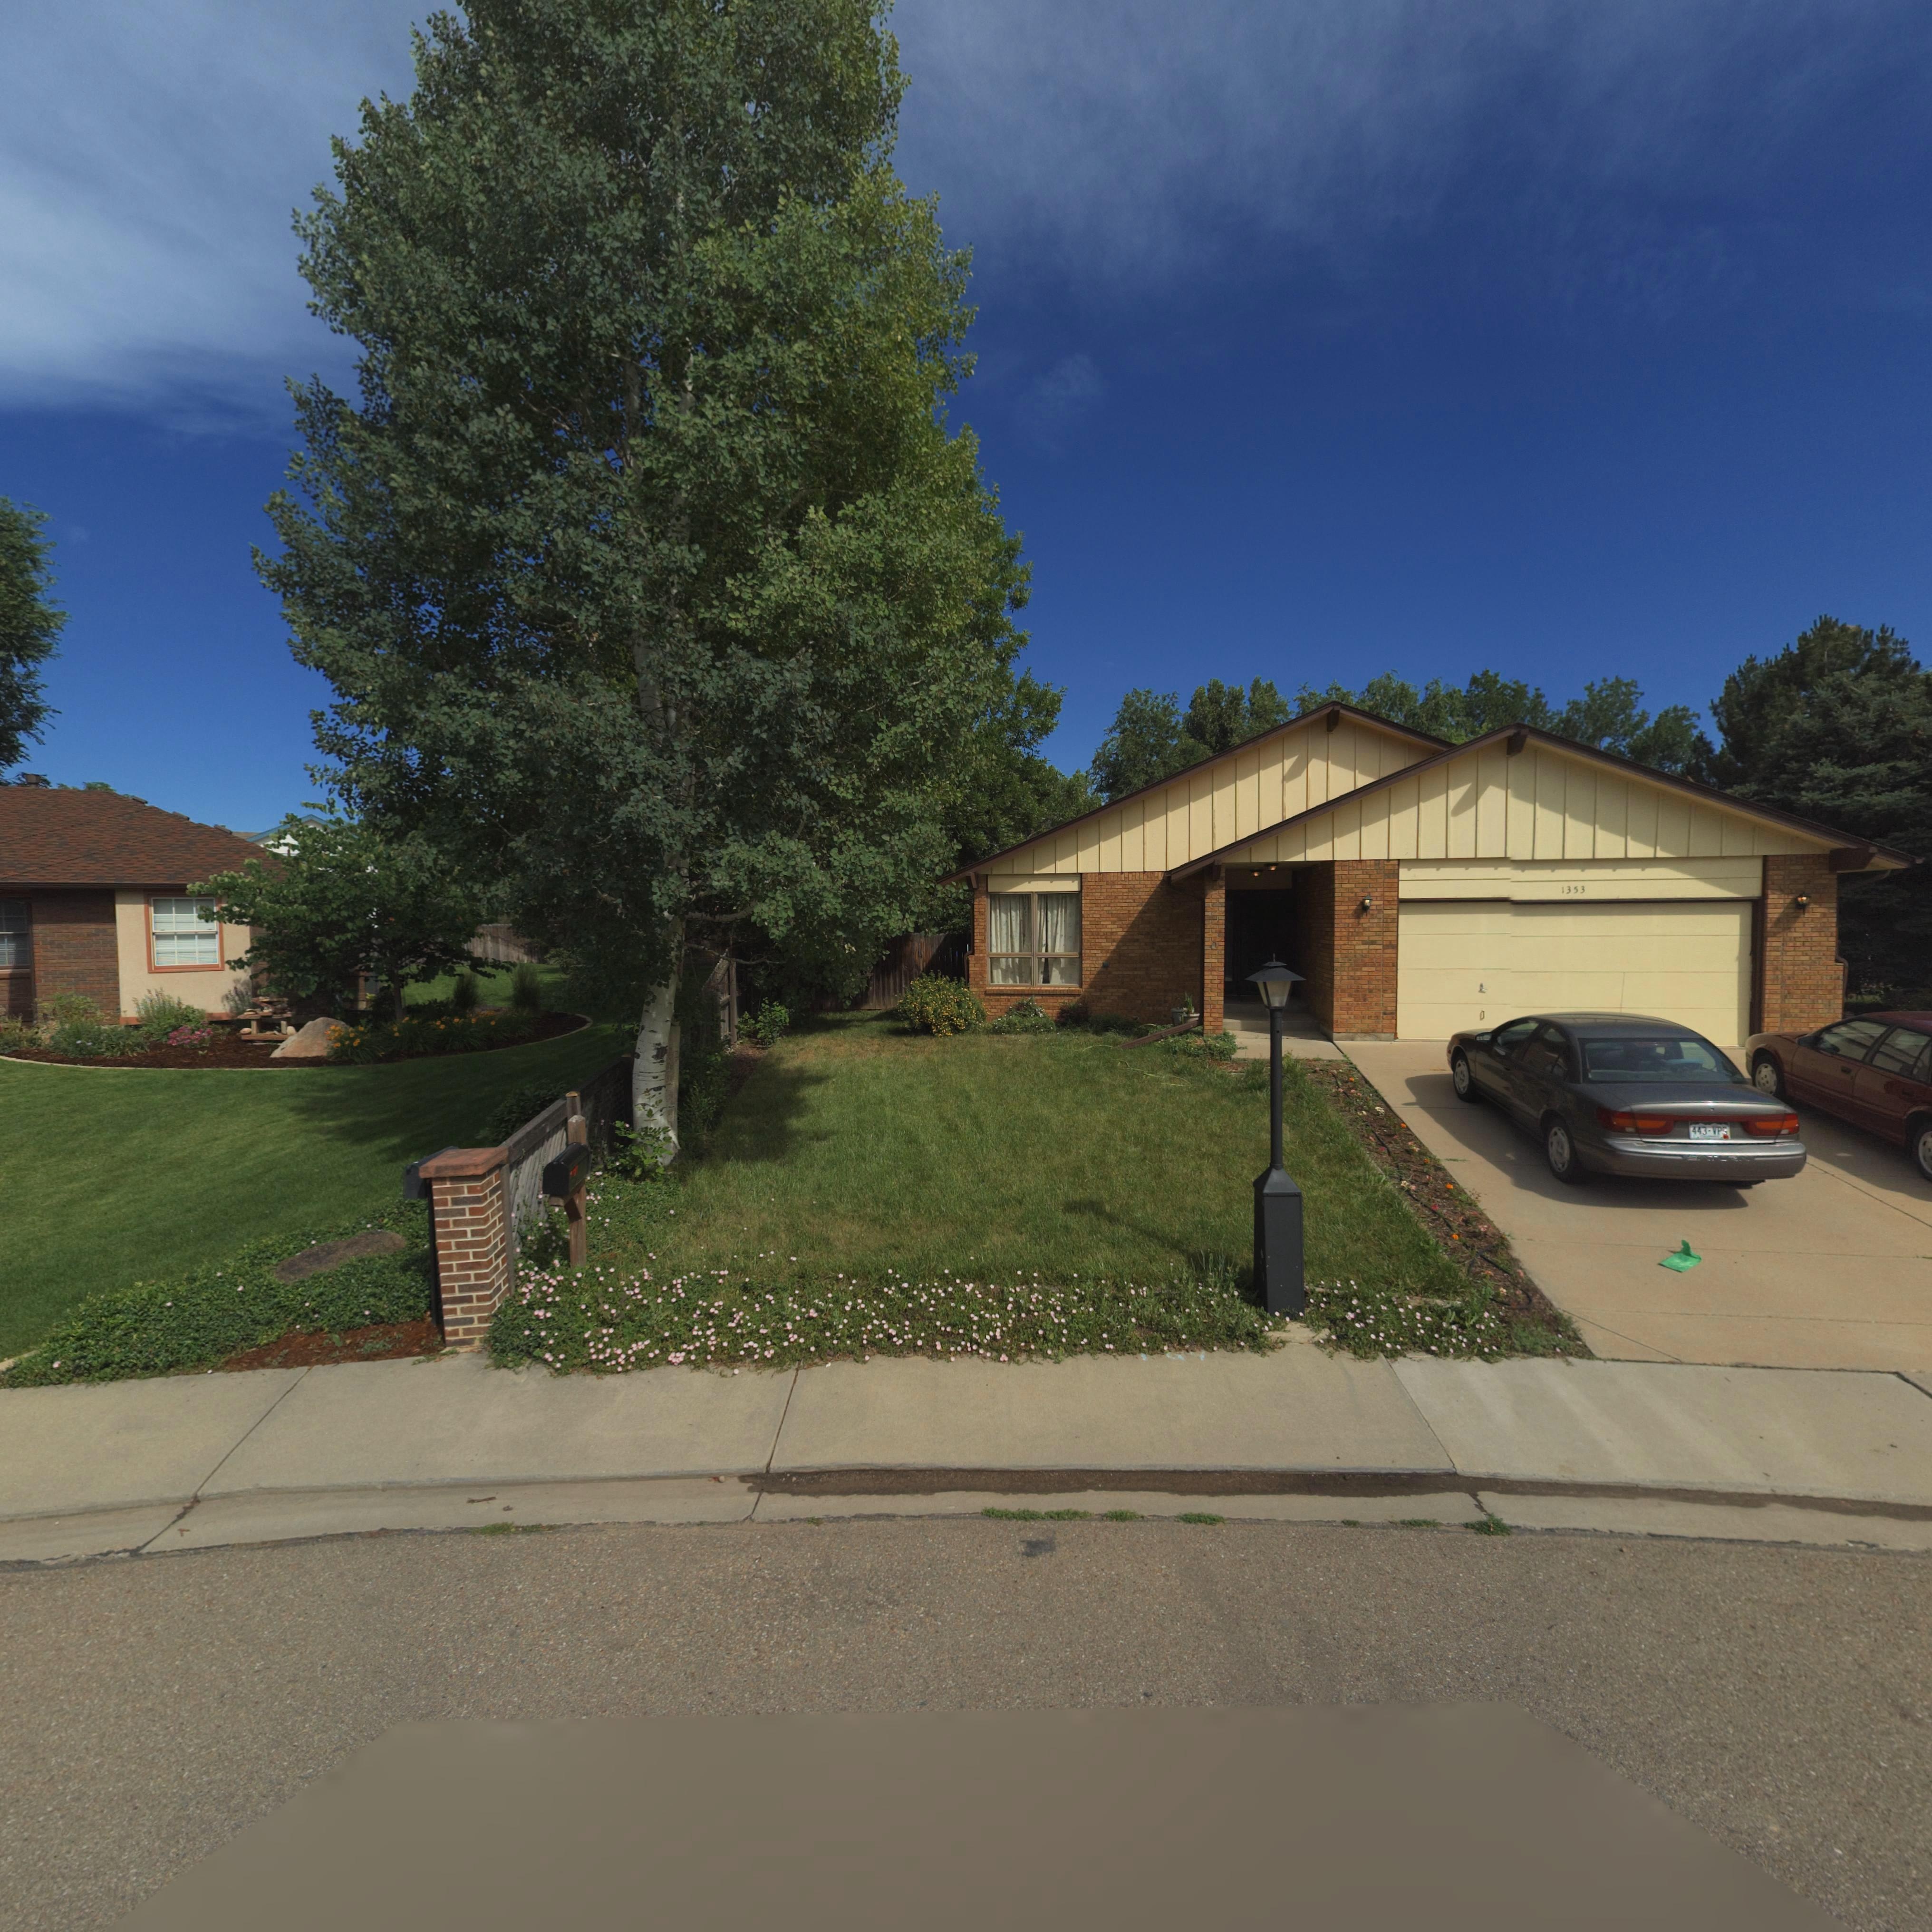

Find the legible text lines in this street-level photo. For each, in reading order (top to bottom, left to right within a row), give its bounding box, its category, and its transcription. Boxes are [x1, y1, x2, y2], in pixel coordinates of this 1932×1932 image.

[1561, 885, 1585, 894] StreetNumber: 1353